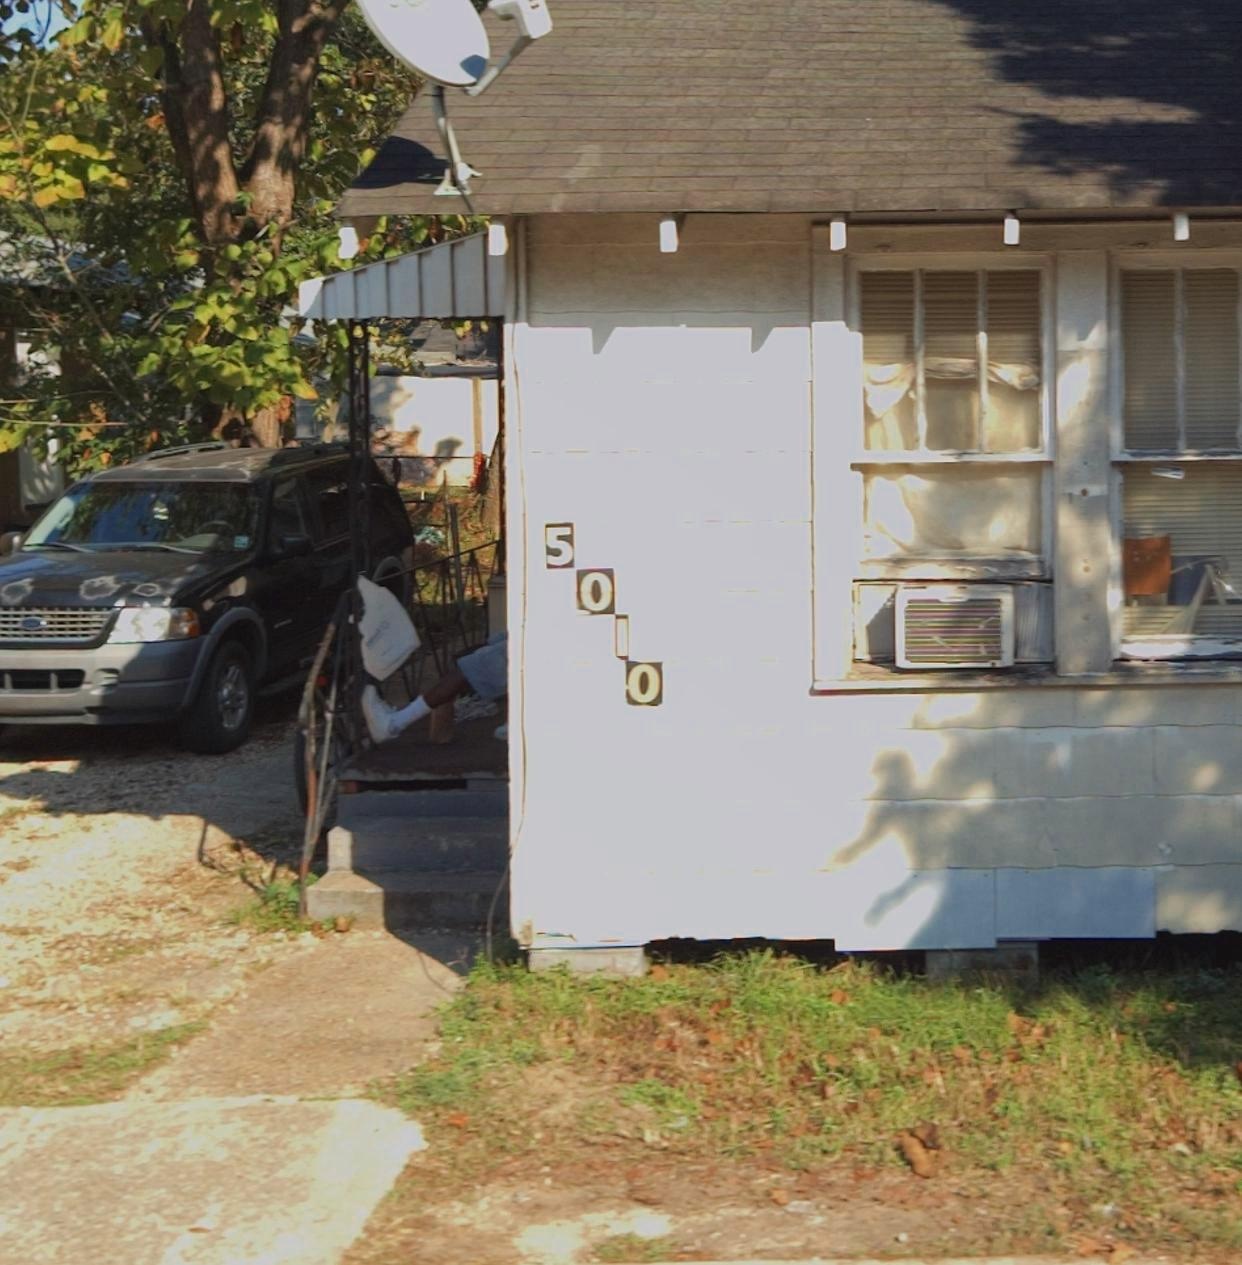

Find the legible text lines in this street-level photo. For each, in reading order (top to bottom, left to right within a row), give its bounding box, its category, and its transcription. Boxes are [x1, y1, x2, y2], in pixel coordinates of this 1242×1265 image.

[544, 525, 662, 705] StreetNumber: 5010